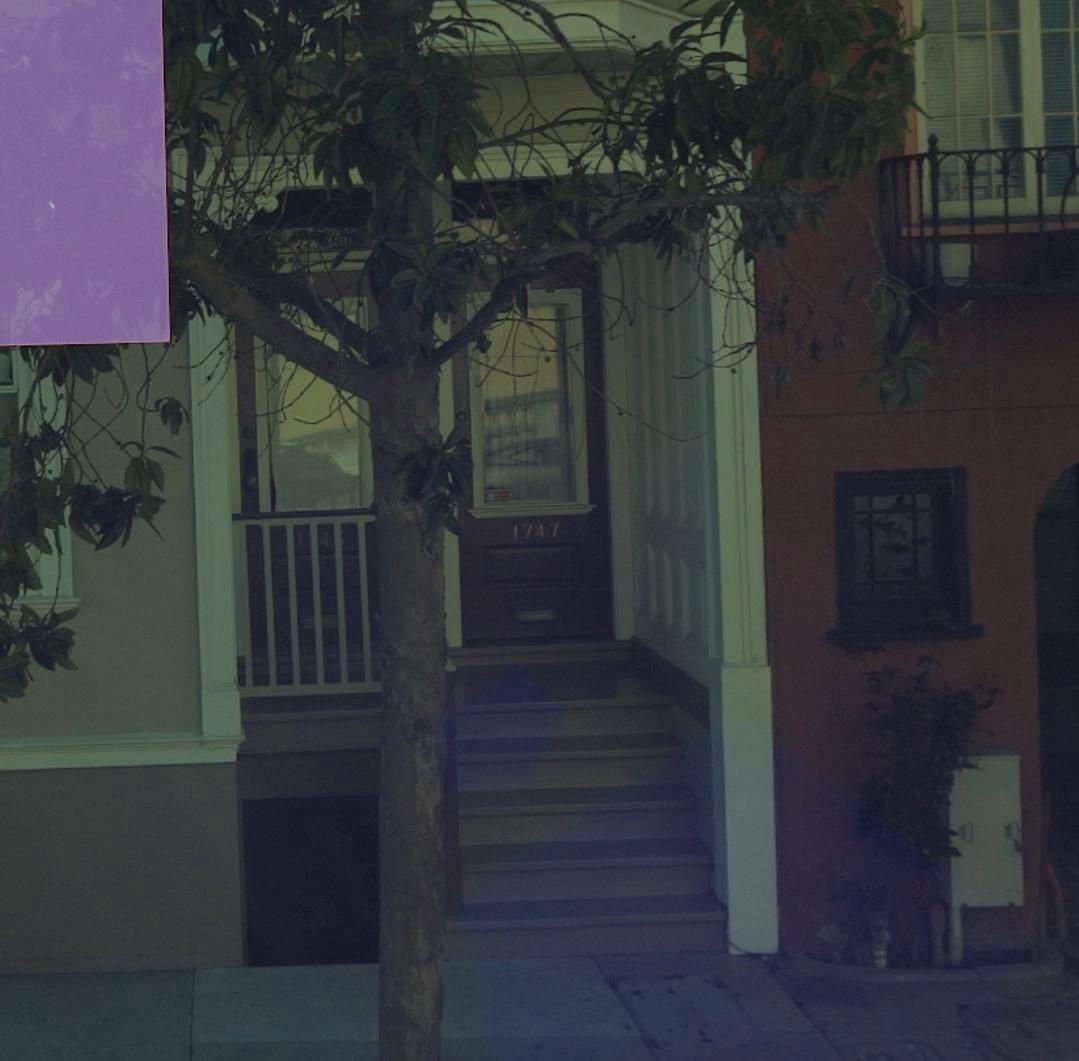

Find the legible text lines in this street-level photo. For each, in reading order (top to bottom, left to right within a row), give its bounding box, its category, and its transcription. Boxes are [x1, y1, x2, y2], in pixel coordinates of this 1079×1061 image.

[296, 528, 305, 548] StreetNumber: 1
[319, 529, 331, 548] StreetNumber: 4
[510, 519, 562, 542] StreetNumber: 1747